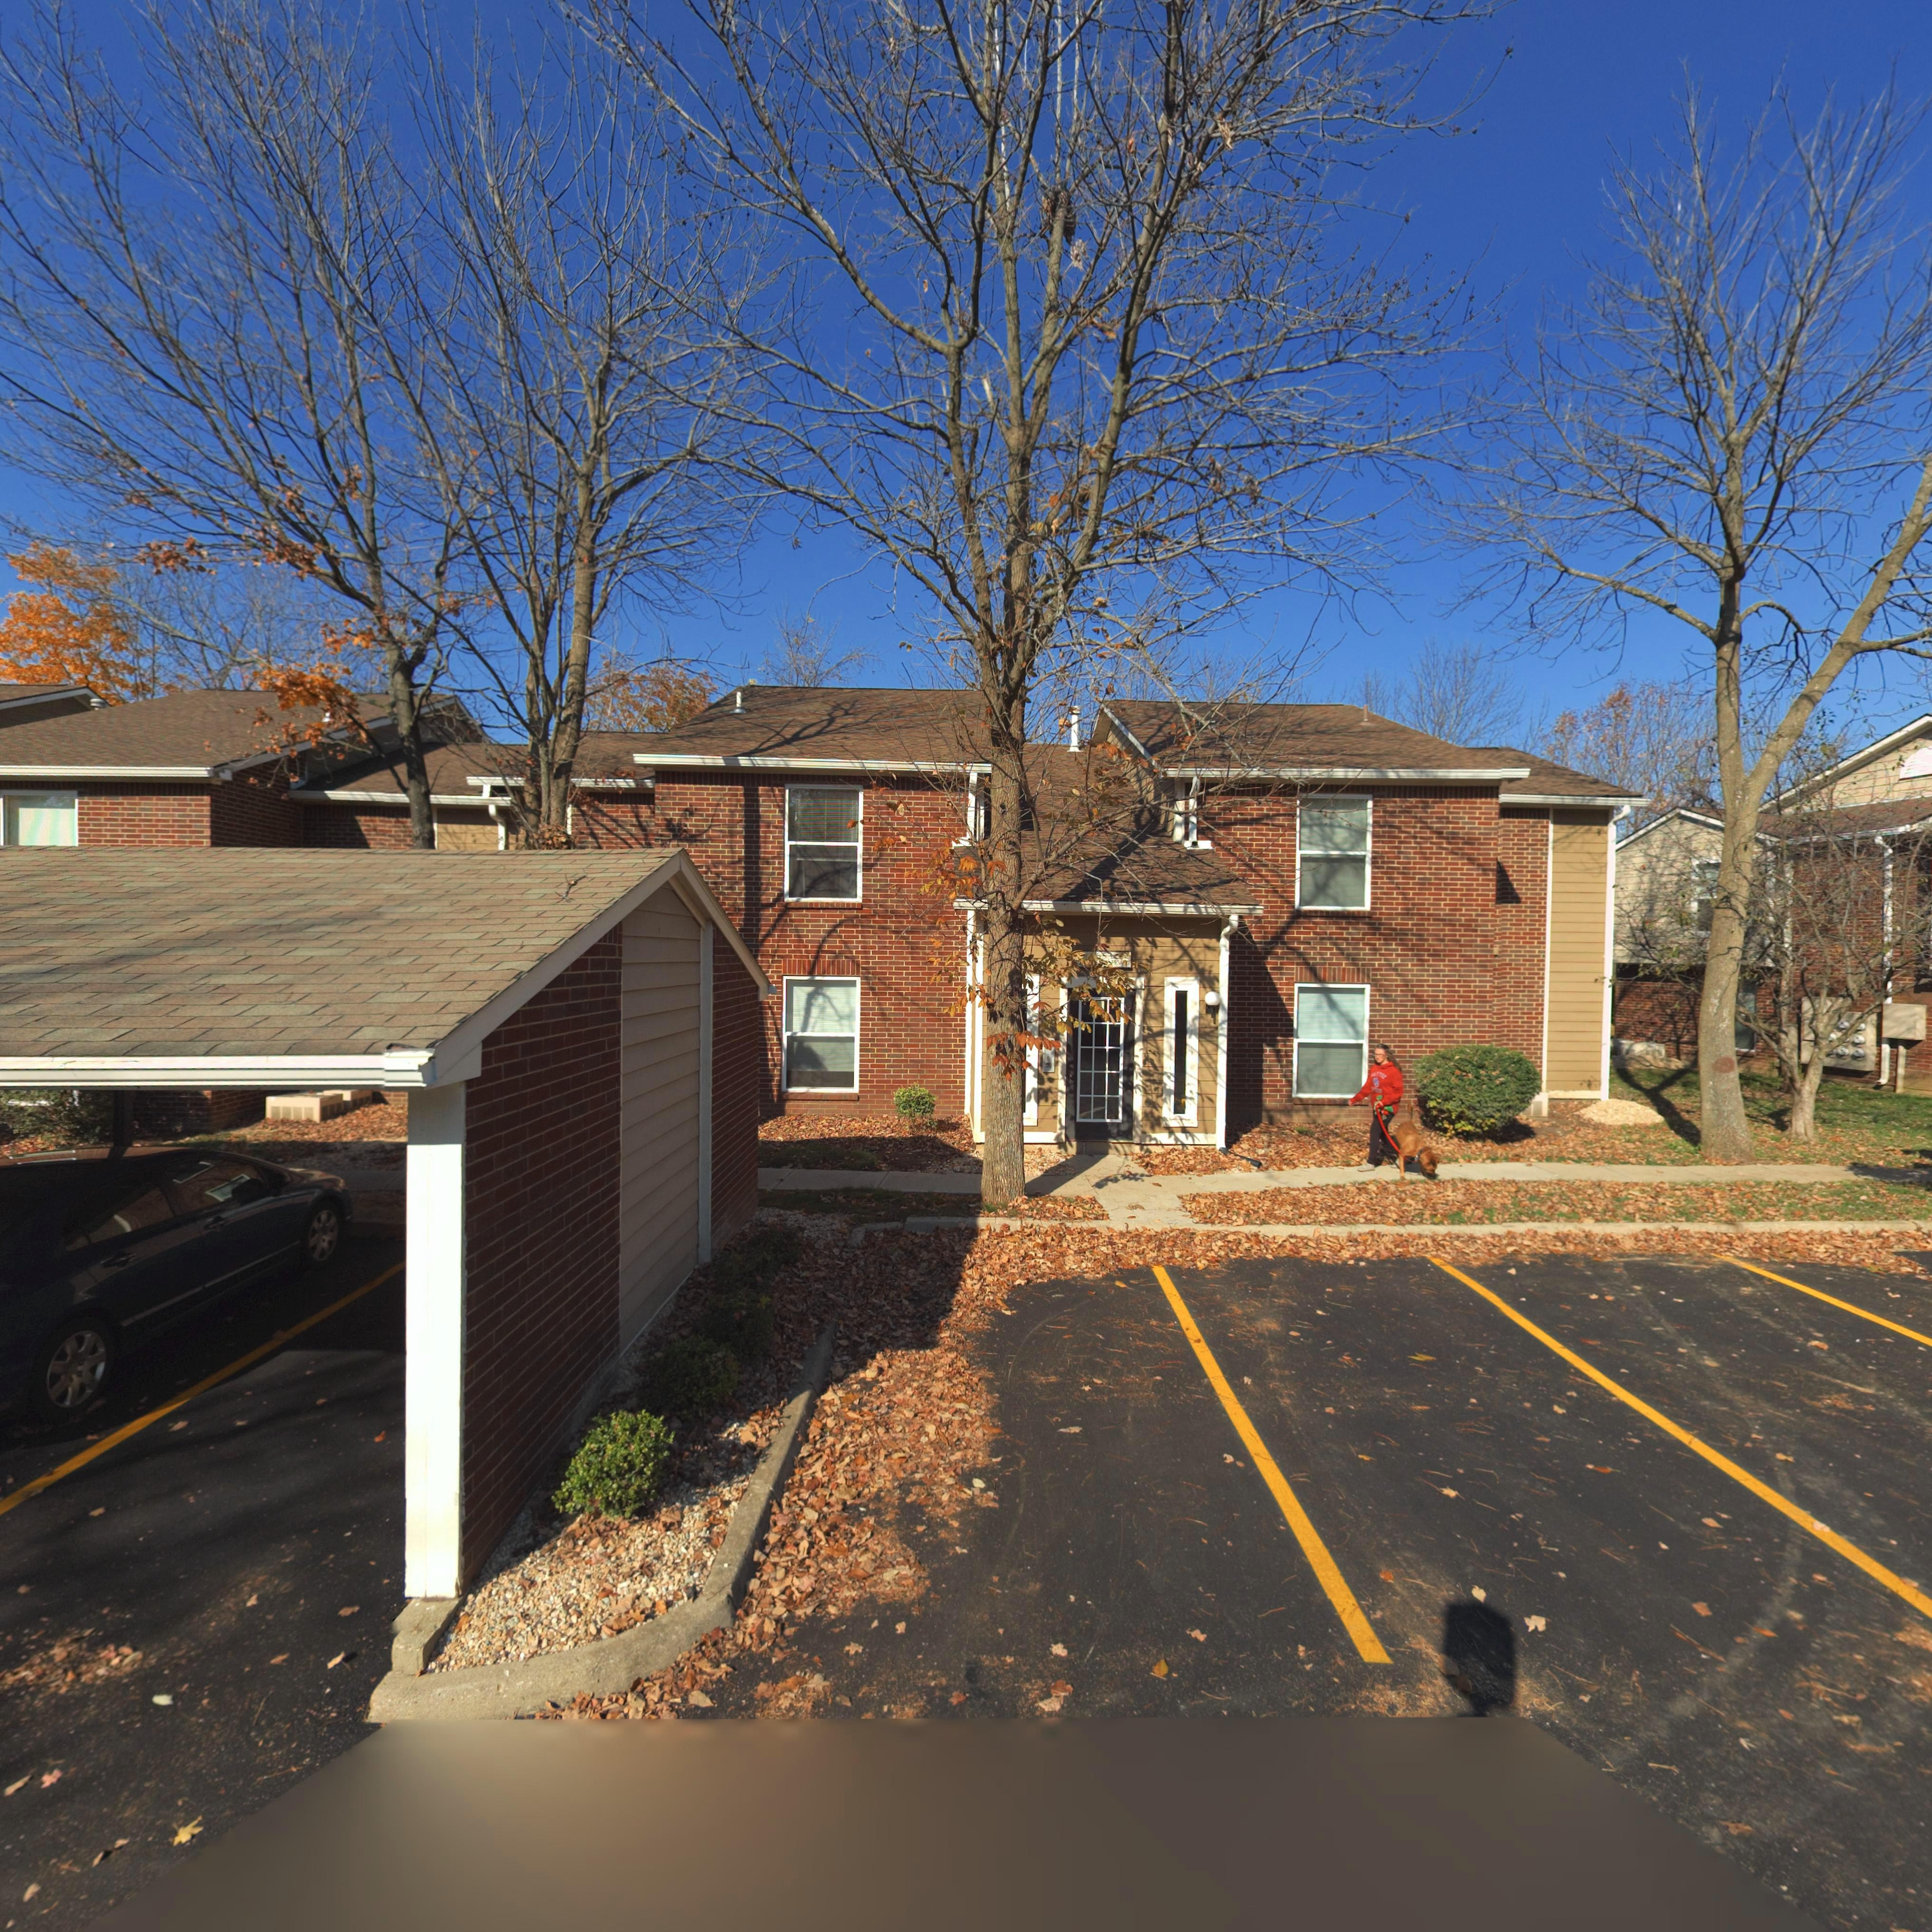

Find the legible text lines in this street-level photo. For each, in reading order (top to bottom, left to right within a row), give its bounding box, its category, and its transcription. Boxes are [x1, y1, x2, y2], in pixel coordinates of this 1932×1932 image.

[1101, 952, 1113, 961] StreetNumber: 5*